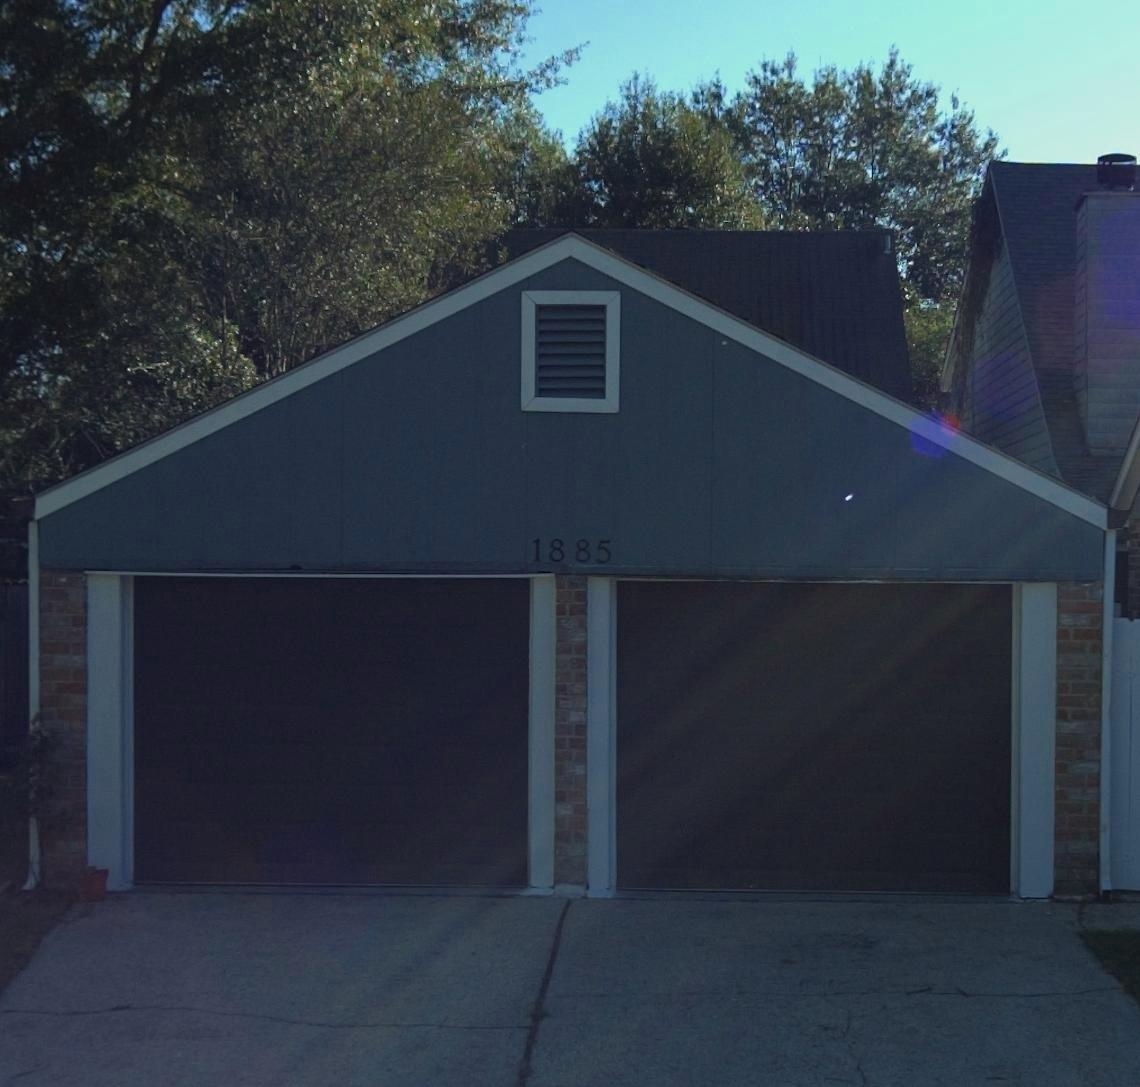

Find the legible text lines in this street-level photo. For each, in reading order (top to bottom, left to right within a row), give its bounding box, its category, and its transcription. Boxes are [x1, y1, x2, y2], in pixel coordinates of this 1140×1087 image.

[531, 536, 614, 566] StreetNumber: 1885